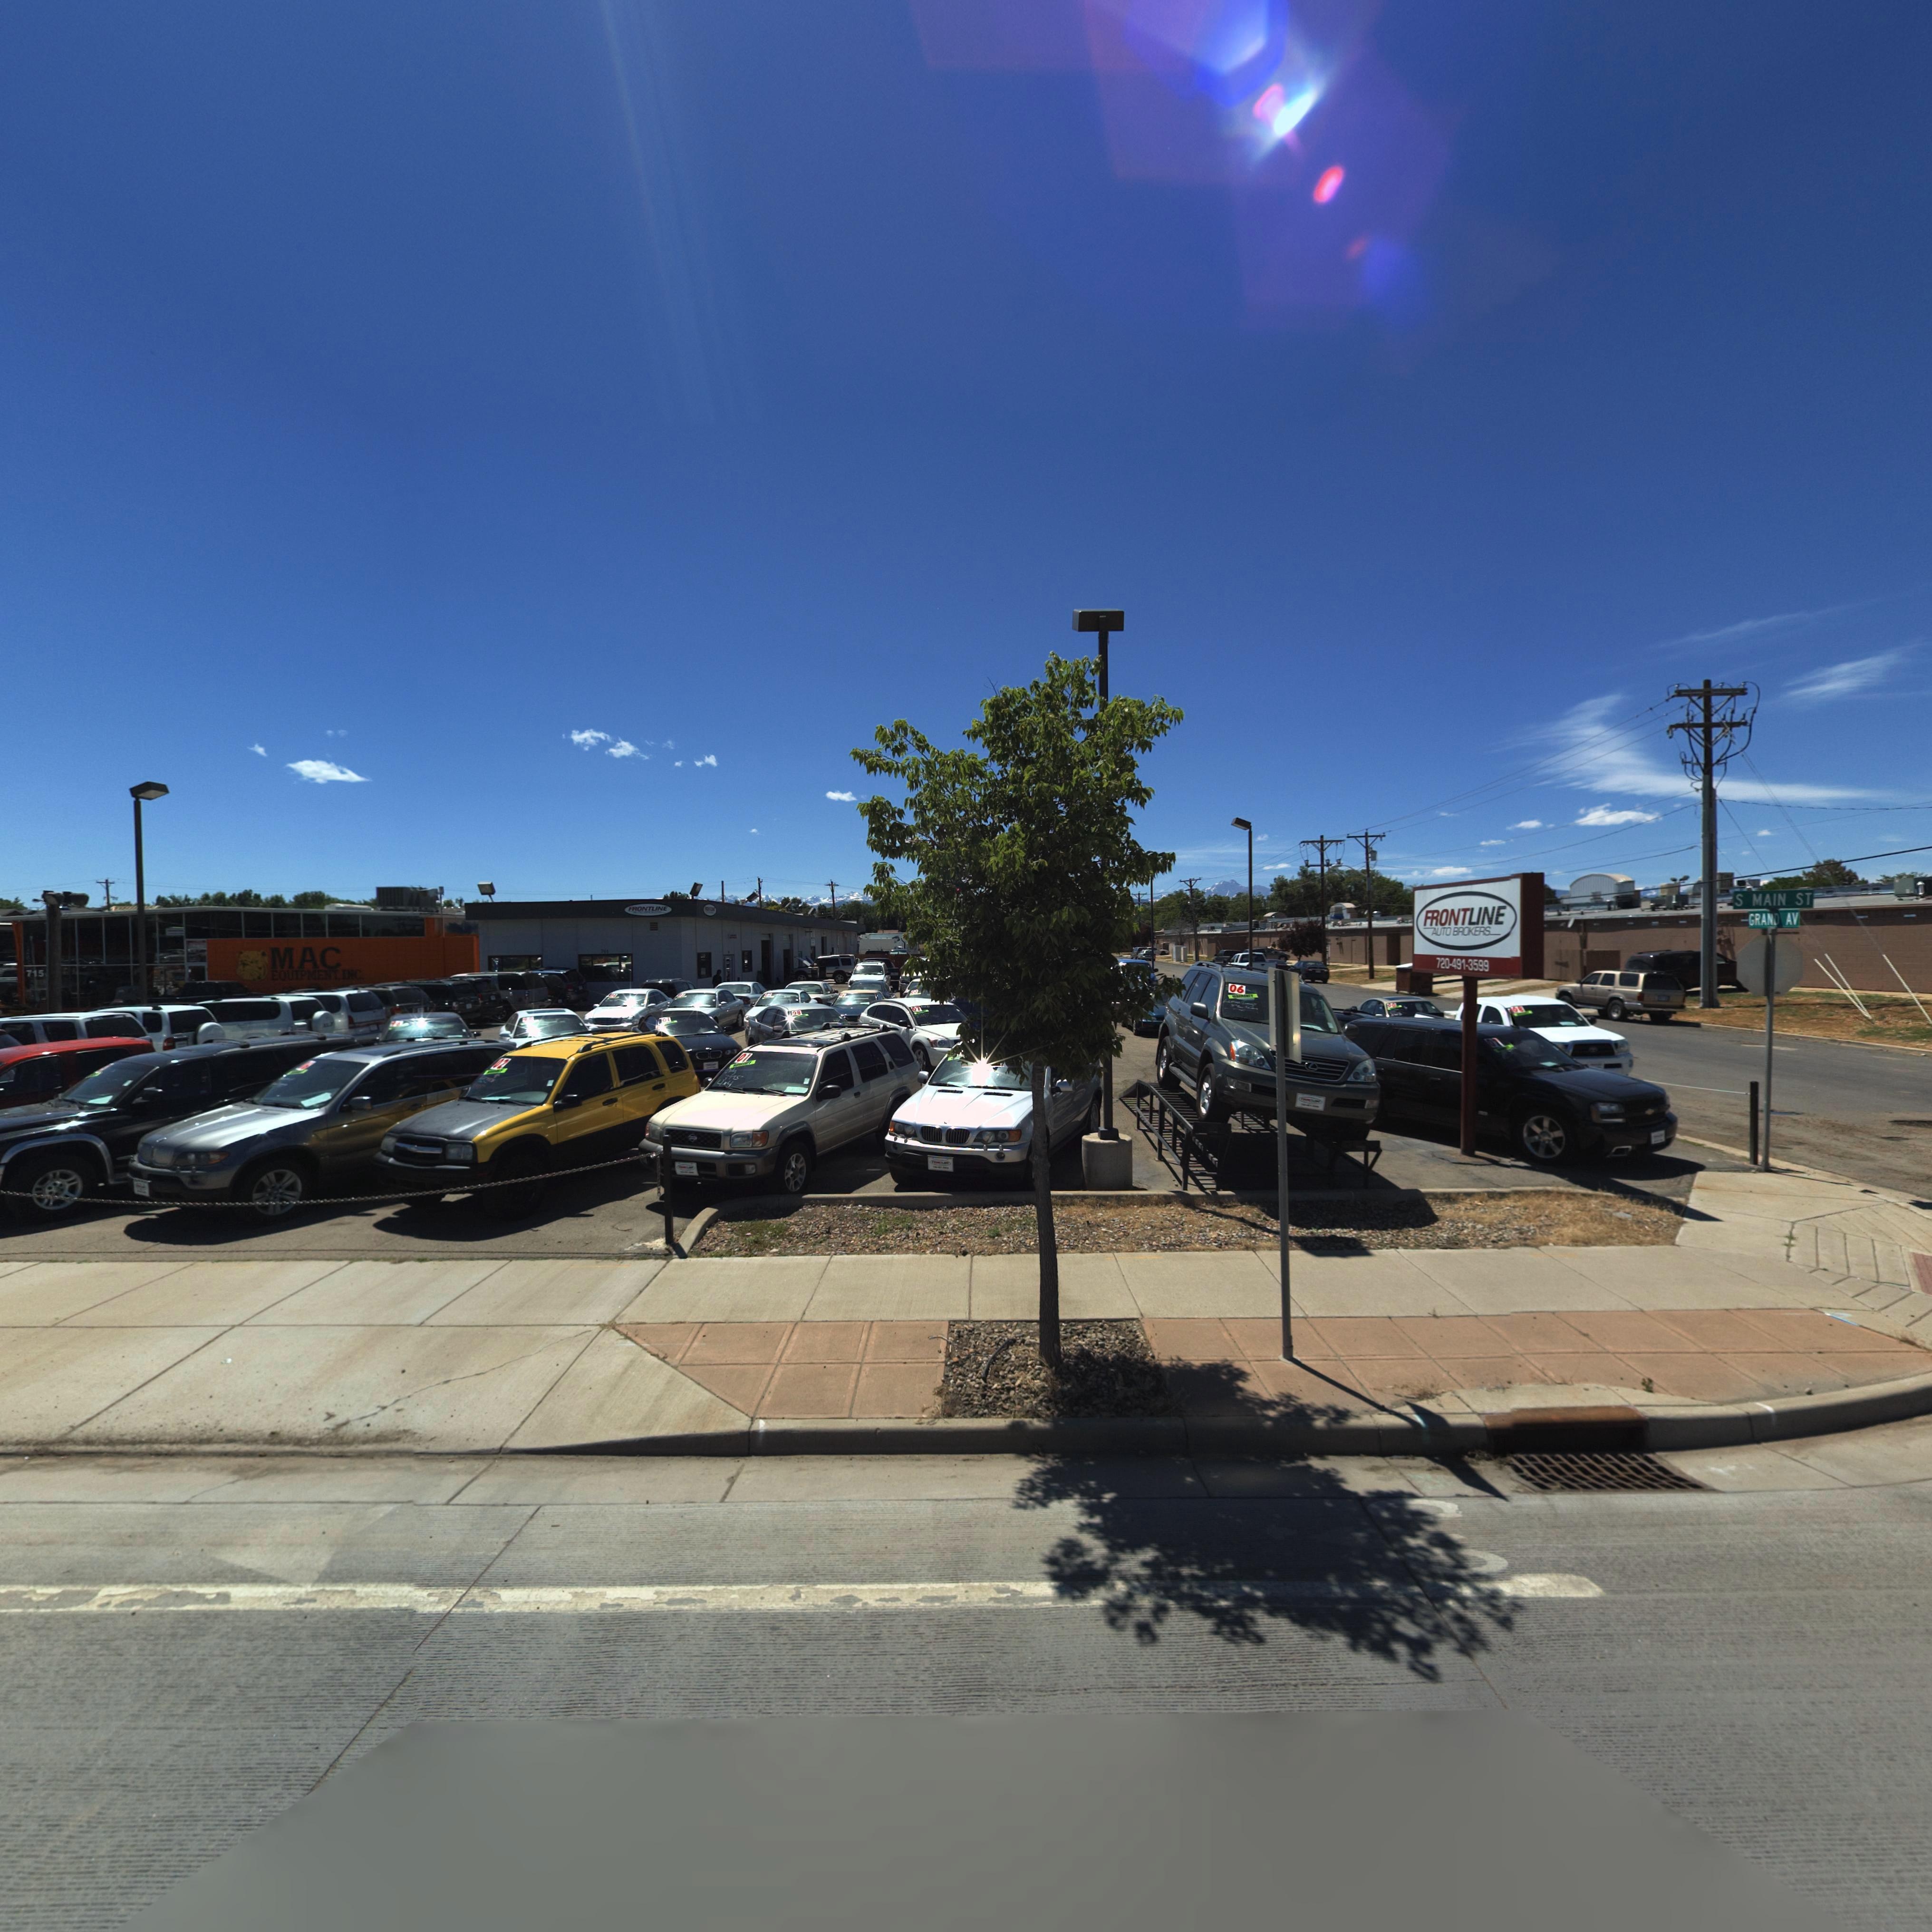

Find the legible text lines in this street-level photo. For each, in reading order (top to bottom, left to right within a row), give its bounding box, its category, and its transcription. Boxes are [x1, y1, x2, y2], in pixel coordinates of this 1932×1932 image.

[1734, 892, 1813, 907] StreetName: S MAIN ST
[628, 906, 668, 911] BusinessName: FRONTLINE
[705, 907, 715, 911] BusinessName: F*******E
[1423, 905, 1507, 927] BusinessName: FRONTLINE
[1748, 911, 1800, 926] StreetName: GRAND AV
[1430, 926, 1491, 936] BusinessName: AUTO BROKERS
[600, 948, 609, 953] StreetNumber: 701
[270, 946, 342, 970] BusinessName: MAC
[26, 969, 44, 977] StreetNumber: 715
[271, 969, 365, 982] BusinessName: EQUIPMENT. INC.